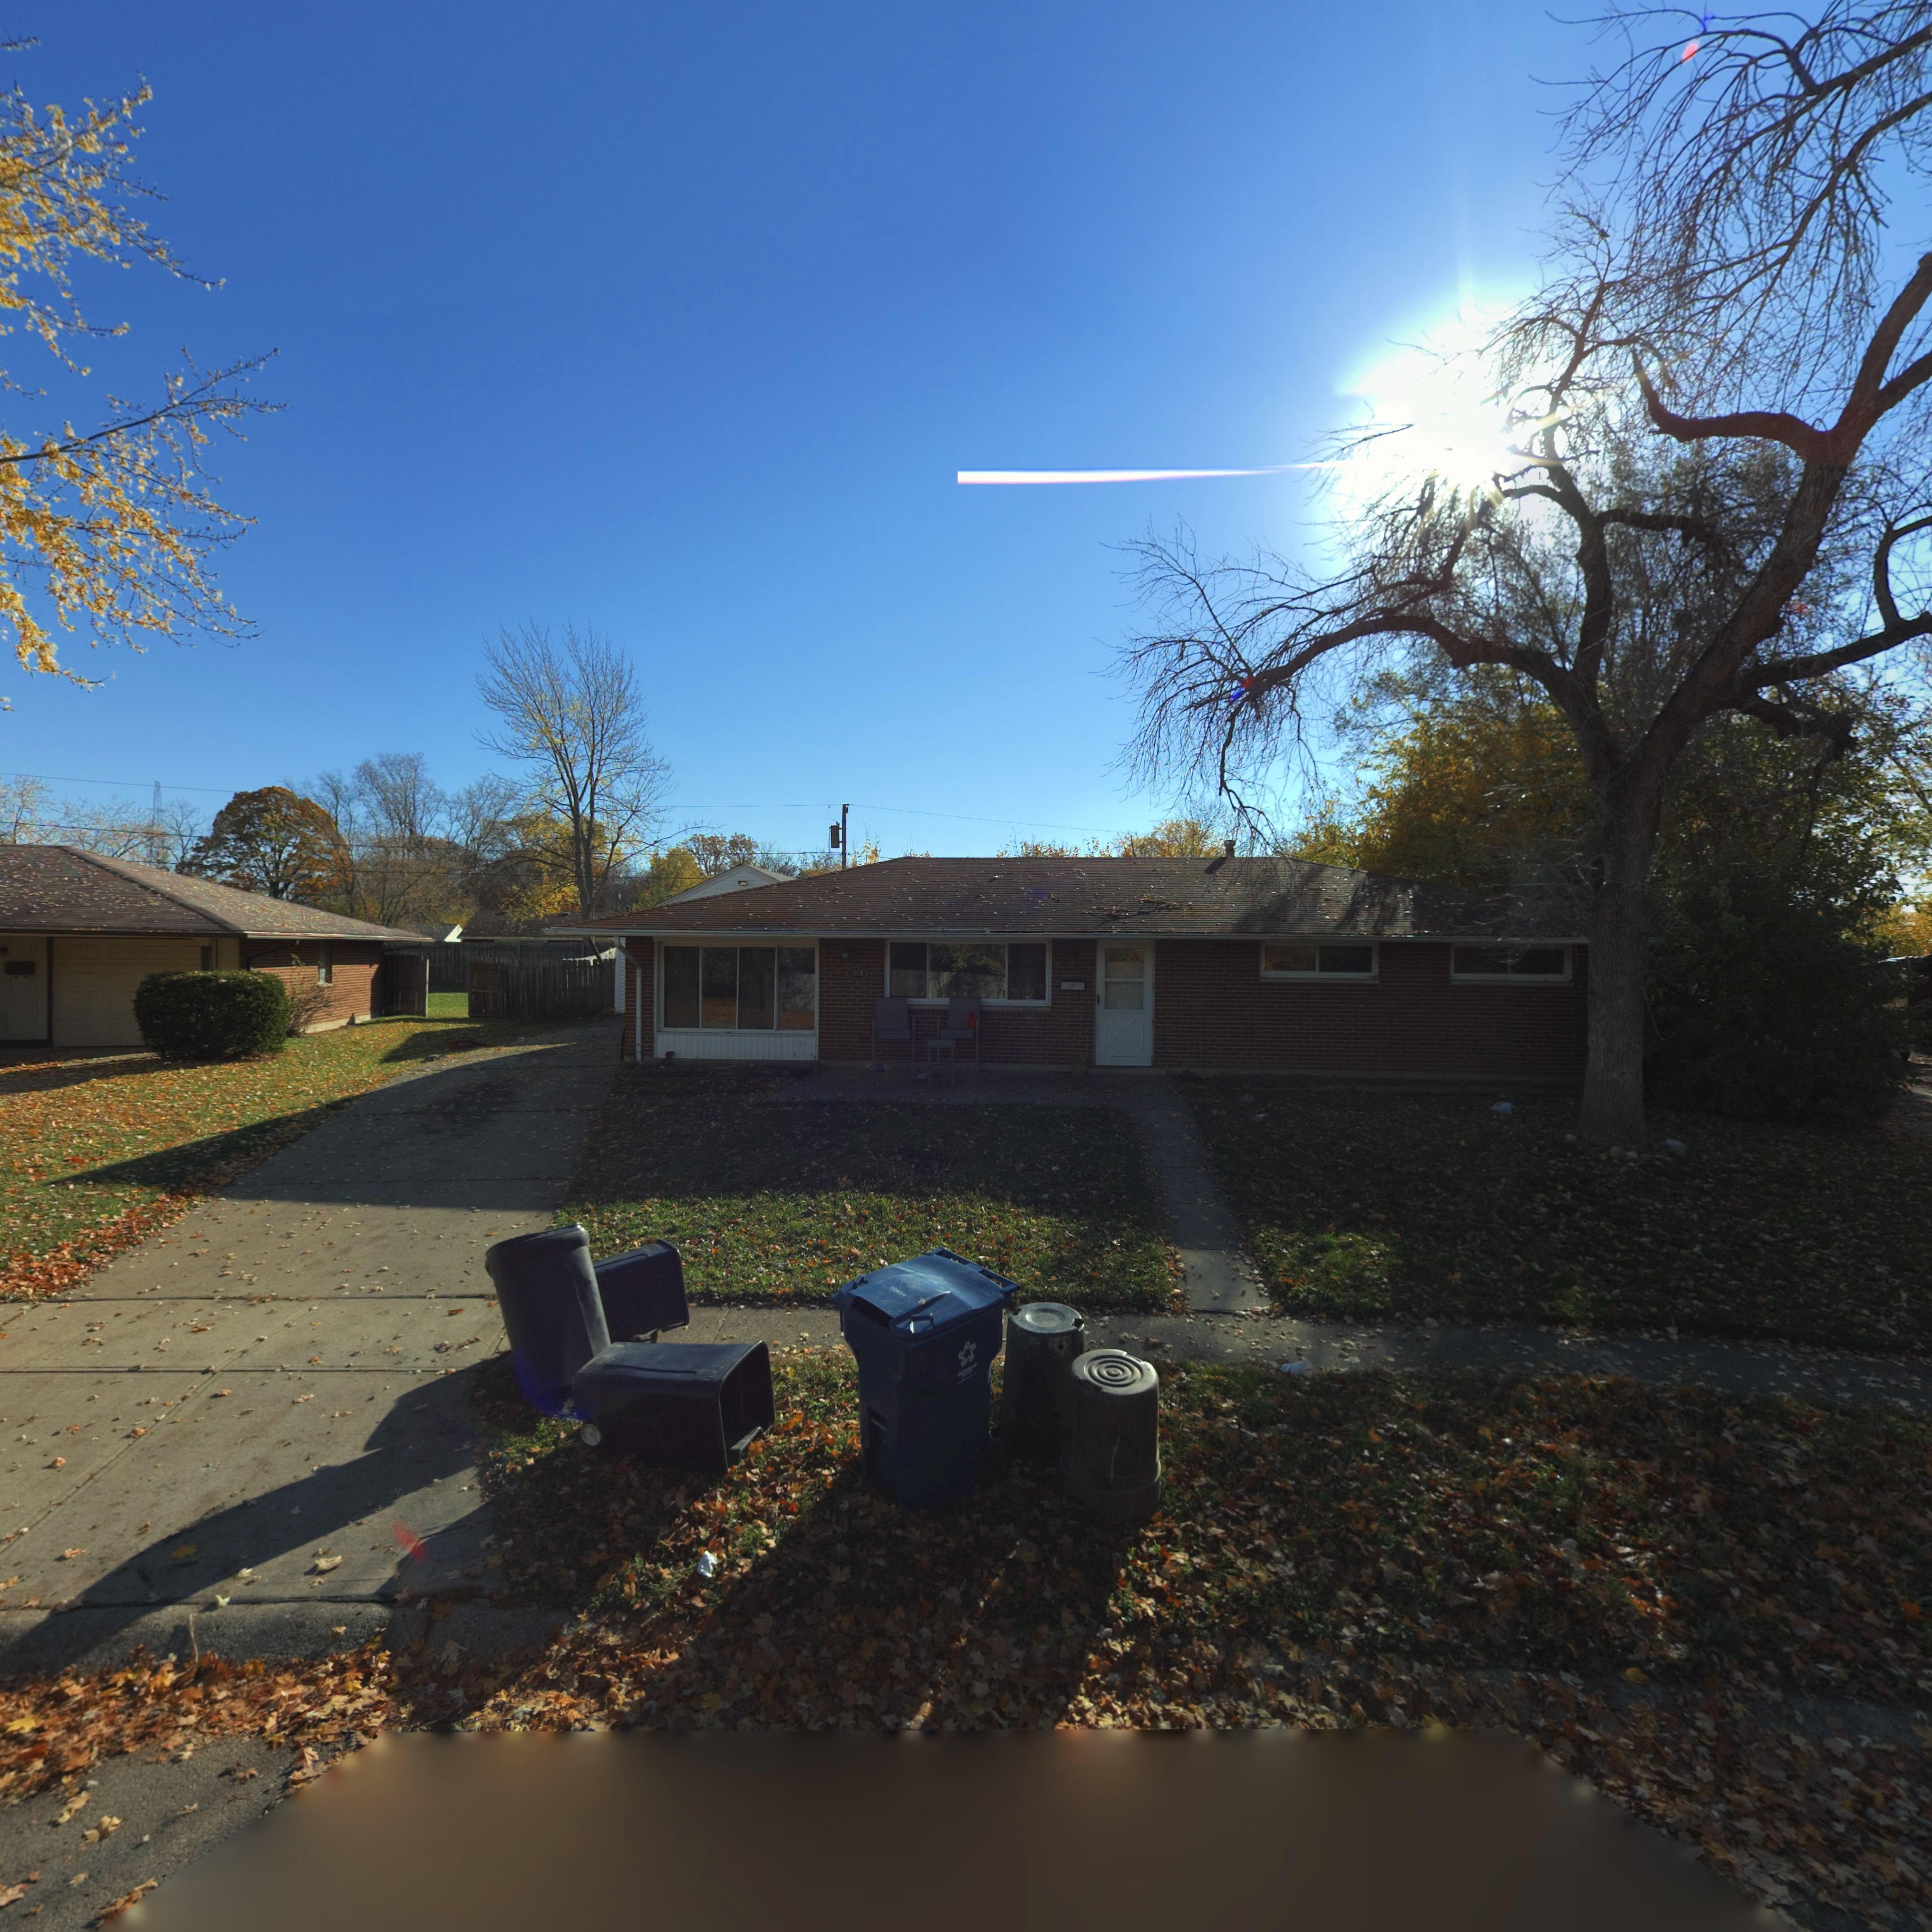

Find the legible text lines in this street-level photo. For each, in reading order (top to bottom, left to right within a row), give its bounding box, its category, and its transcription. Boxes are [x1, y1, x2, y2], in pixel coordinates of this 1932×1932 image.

[851, 969, 864, 977] StreetNumber: 7878